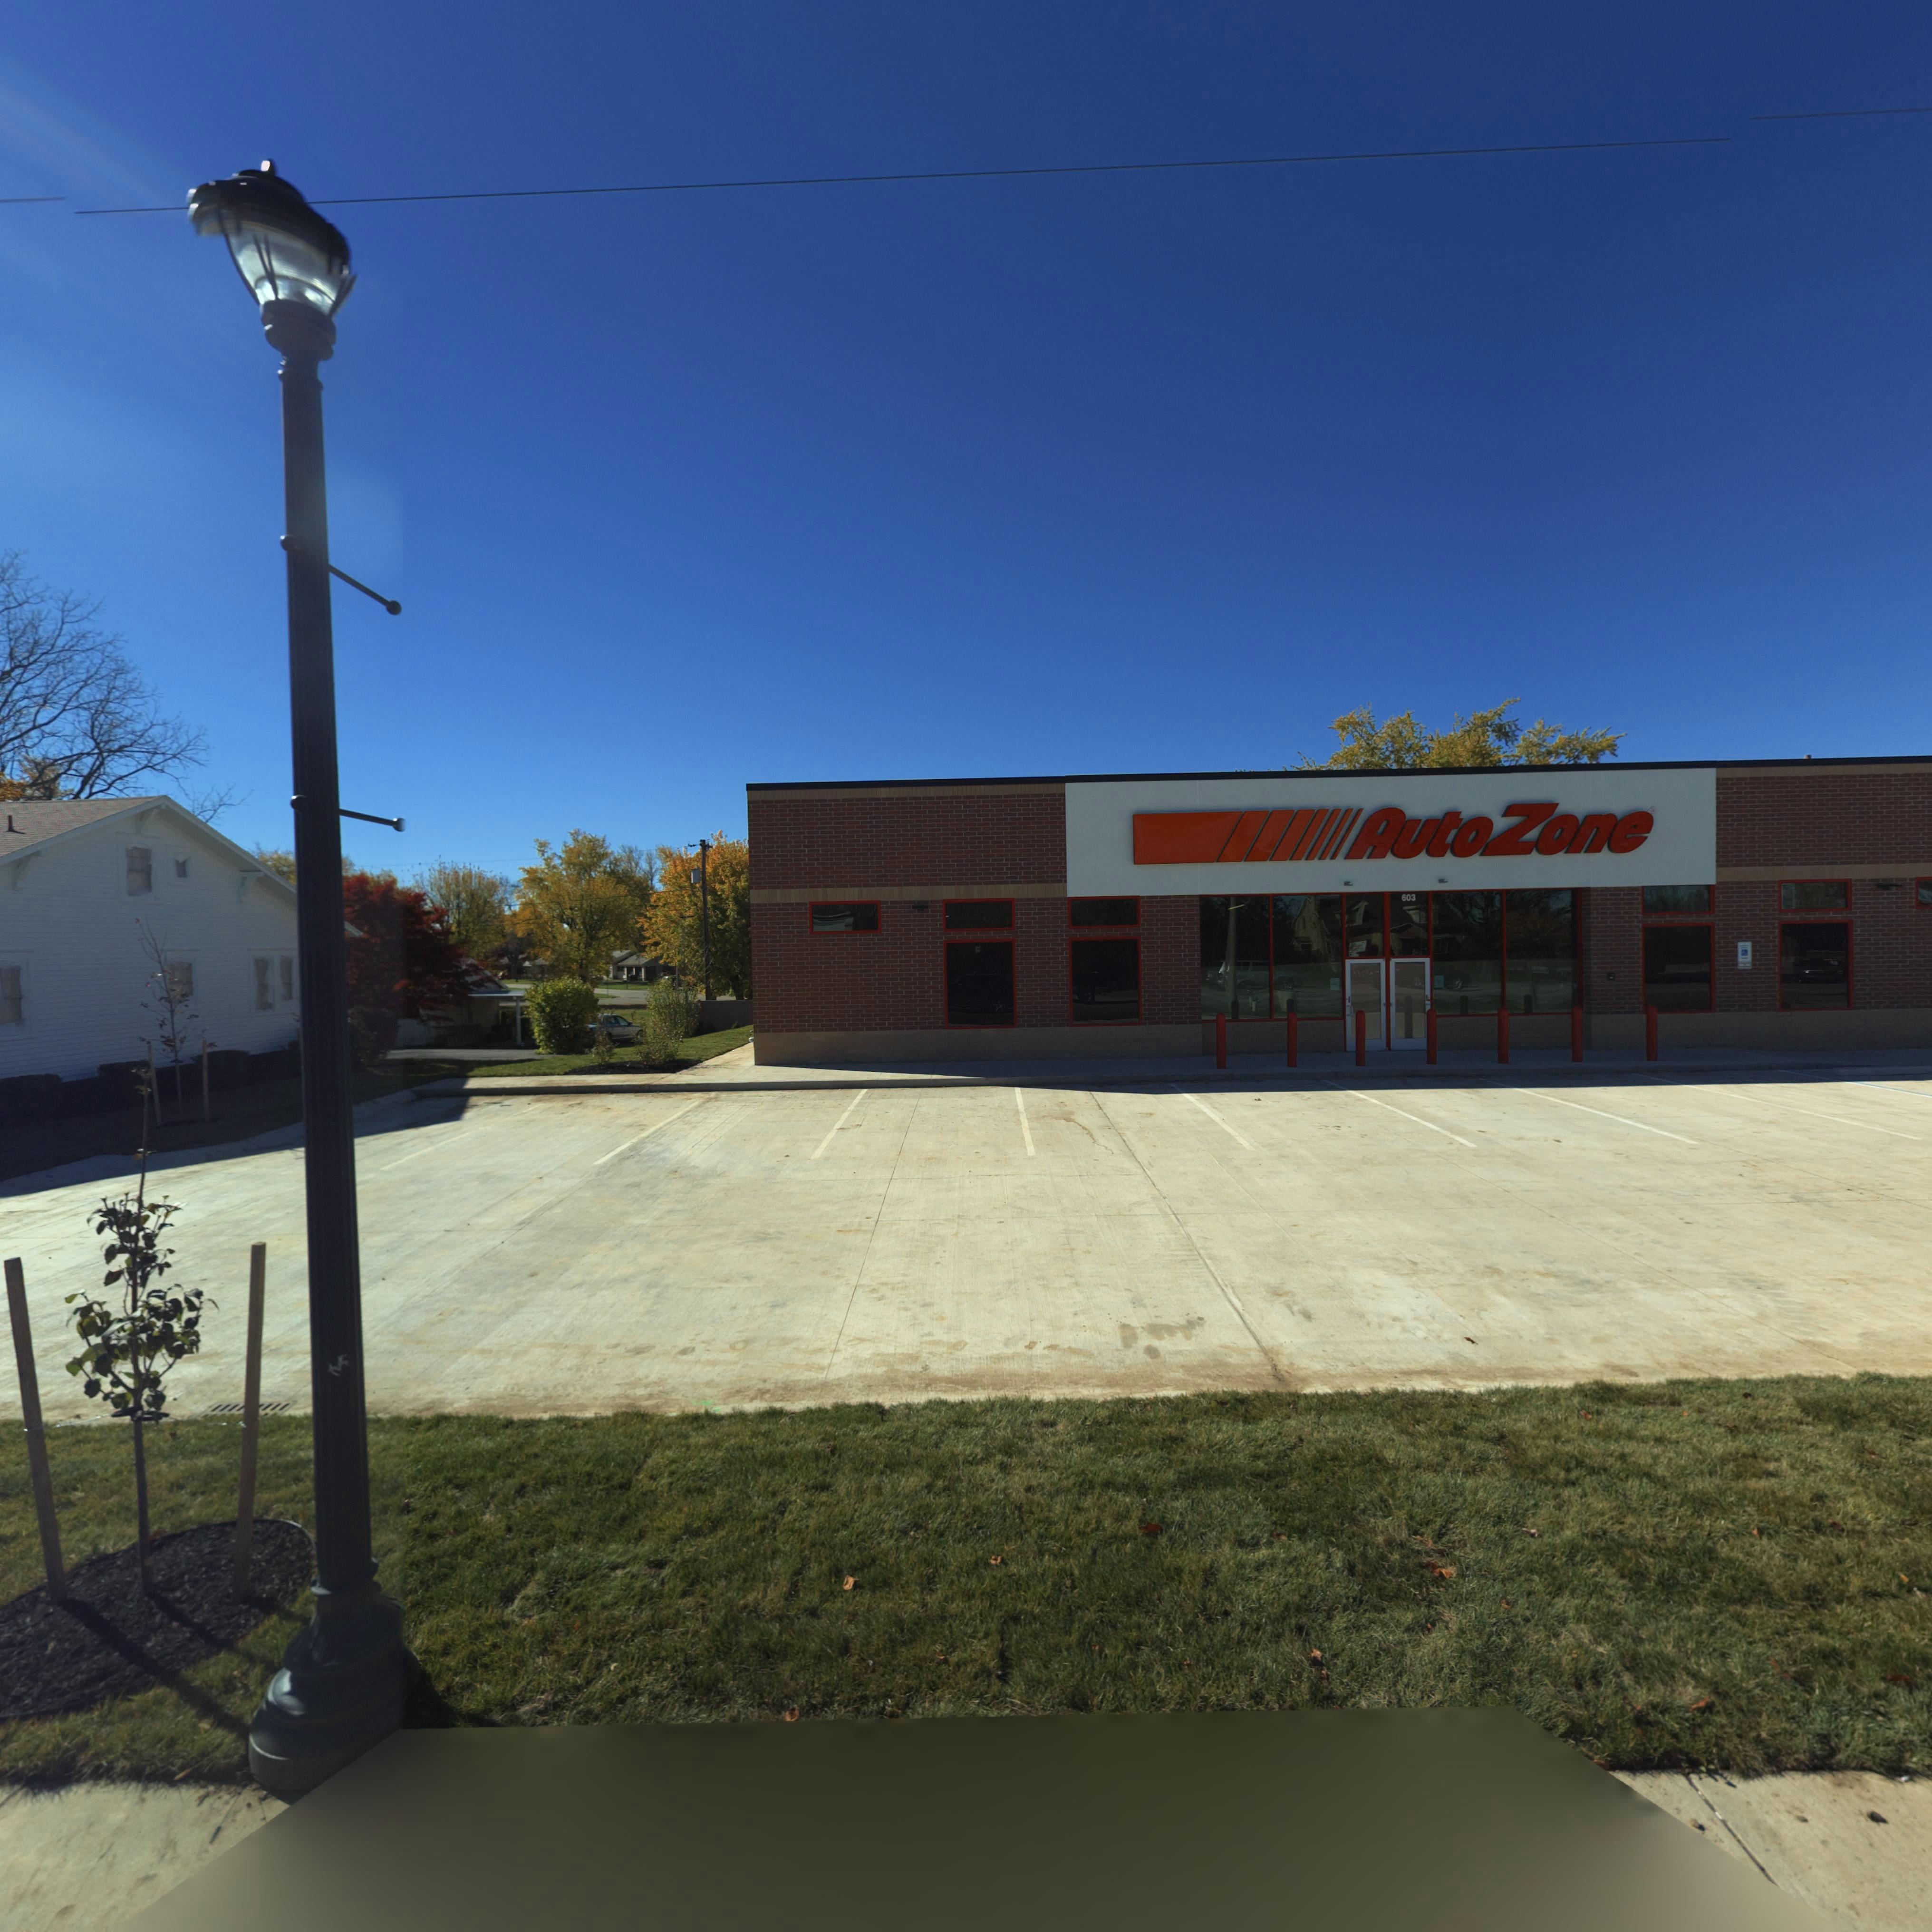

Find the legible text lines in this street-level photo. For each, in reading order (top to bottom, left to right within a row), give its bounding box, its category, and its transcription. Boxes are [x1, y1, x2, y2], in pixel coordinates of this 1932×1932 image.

[1341, 802, 1657, 860] None: AutoZone
[1401, 892, 1417, 902] StreetNumber: 603